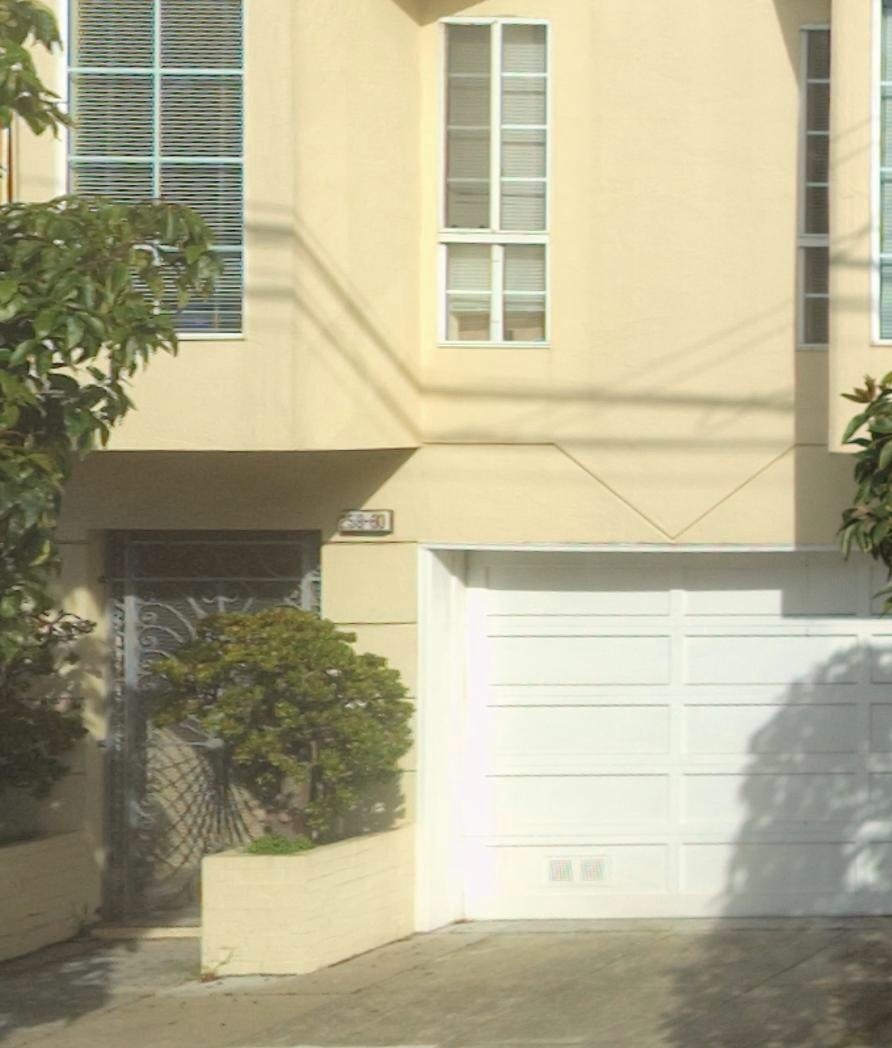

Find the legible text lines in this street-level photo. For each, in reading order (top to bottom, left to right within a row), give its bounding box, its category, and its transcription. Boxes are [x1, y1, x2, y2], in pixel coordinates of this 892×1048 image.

[339, 513, 387, 530] StreetNumber: 258-60